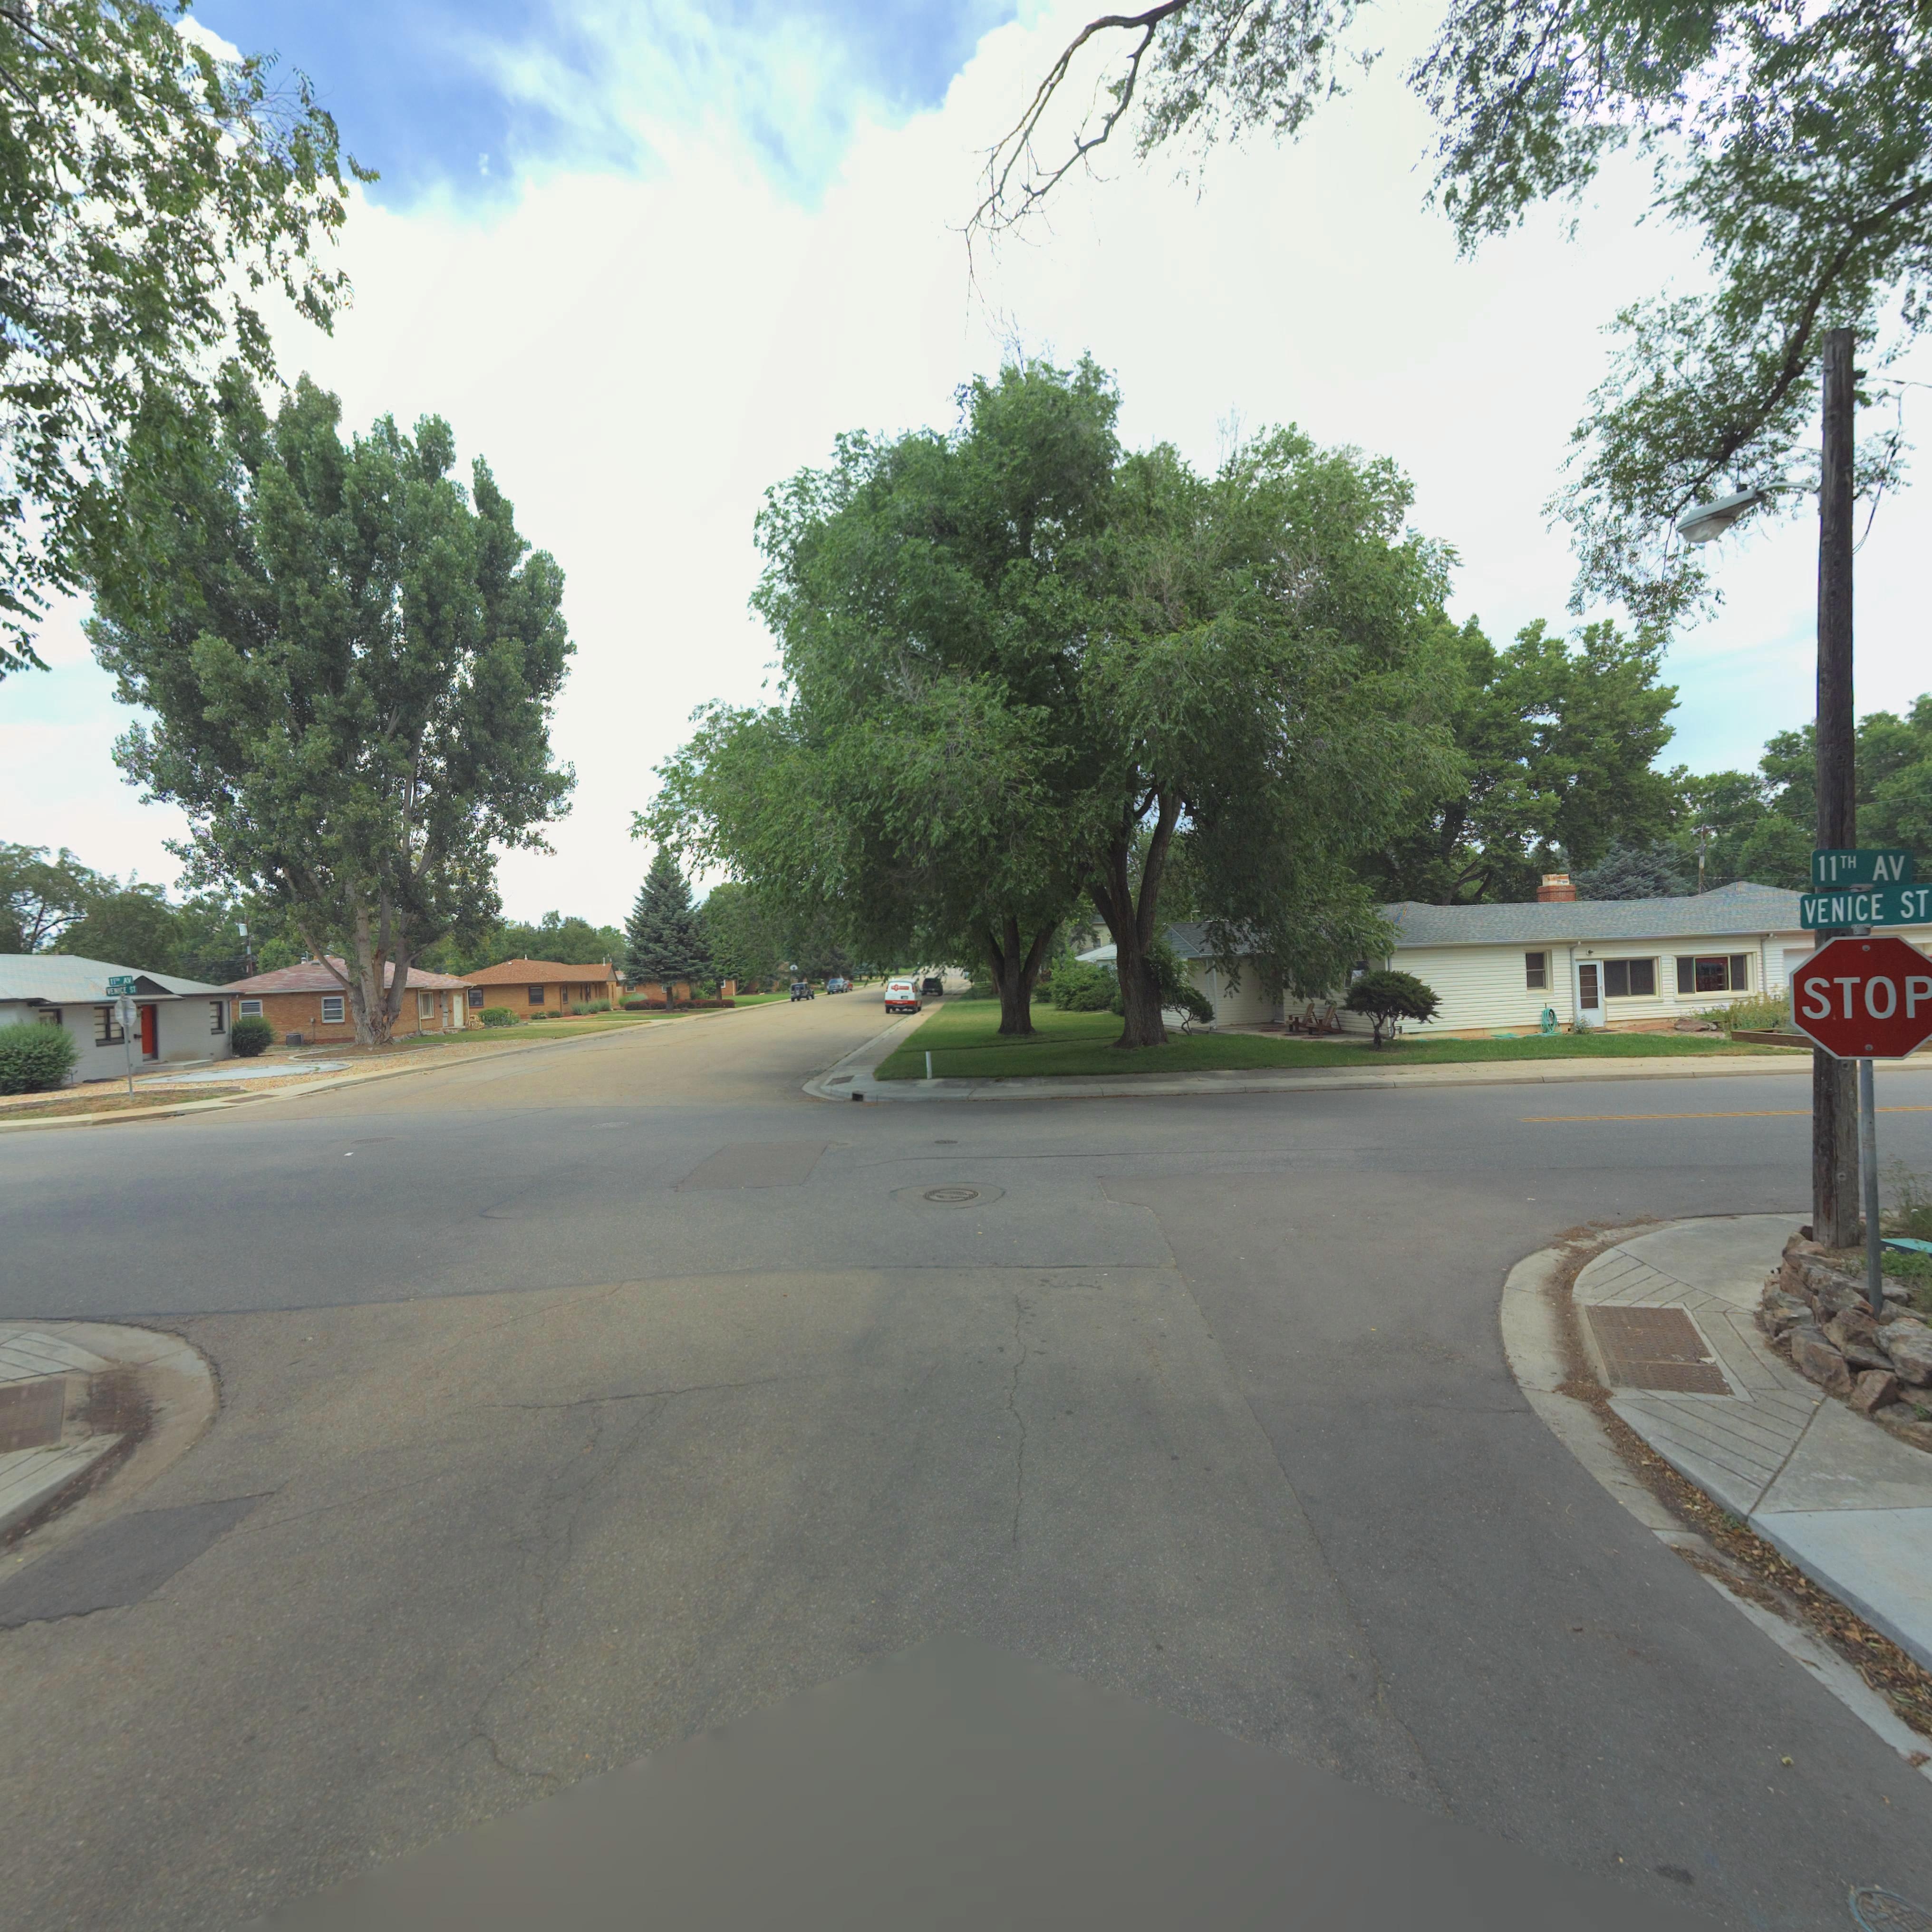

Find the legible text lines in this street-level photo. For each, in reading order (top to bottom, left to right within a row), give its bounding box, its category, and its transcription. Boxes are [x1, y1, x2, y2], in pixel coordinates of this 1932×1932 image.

[1816, 854, 1906, 882] StreetName: 11TH AV
[1803, 888, 1930, 925] StreetName: VENICE ST
[110, 976, 132, 985] StreetName: 11** AV
[106, 985, 136, 995] StreetName: VEN*CE ST